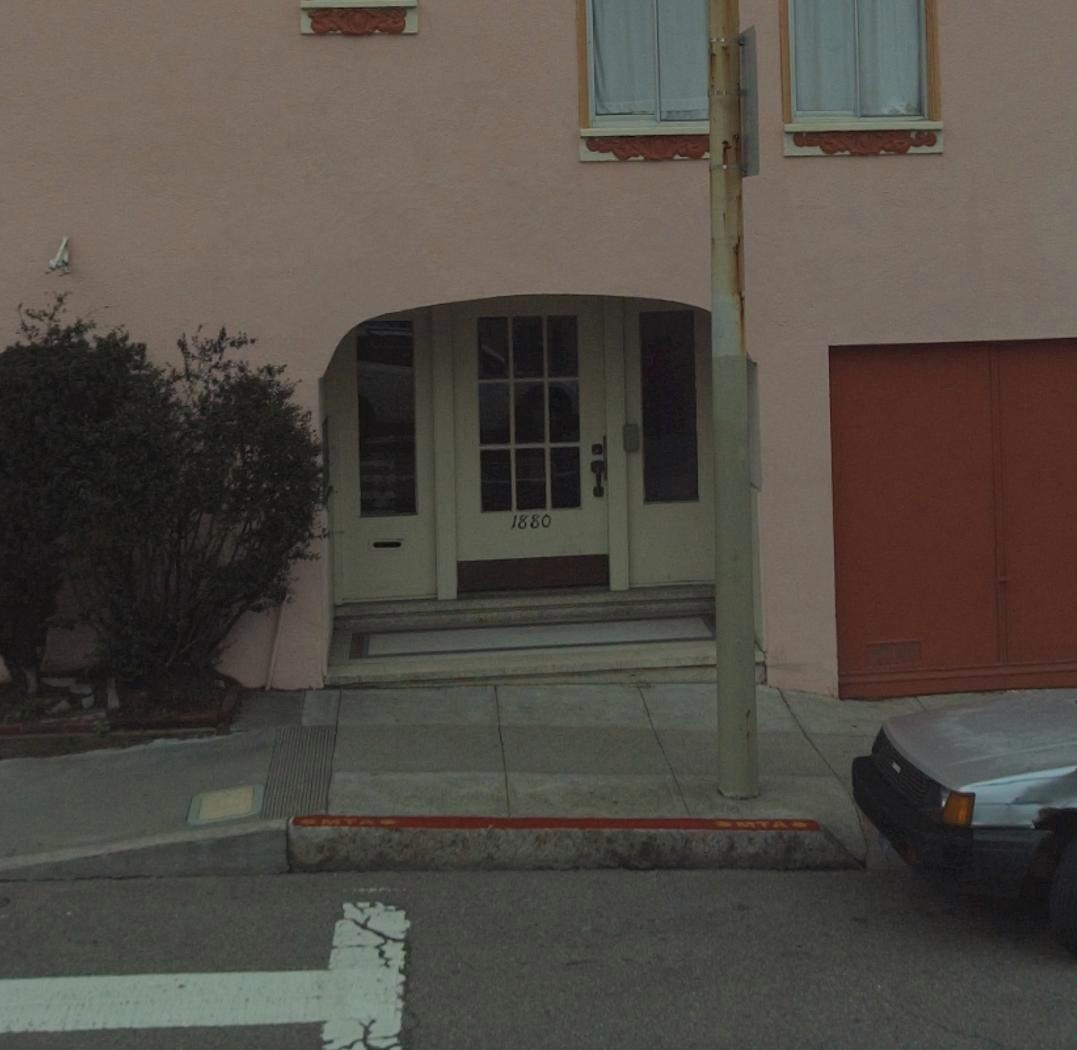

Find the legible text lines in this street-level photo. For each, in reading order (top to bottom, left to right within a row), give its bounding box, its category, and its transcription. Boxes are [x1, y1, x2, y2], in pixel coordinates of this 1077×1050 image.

[510, 513, 552, 530] StreetNumber: 1880